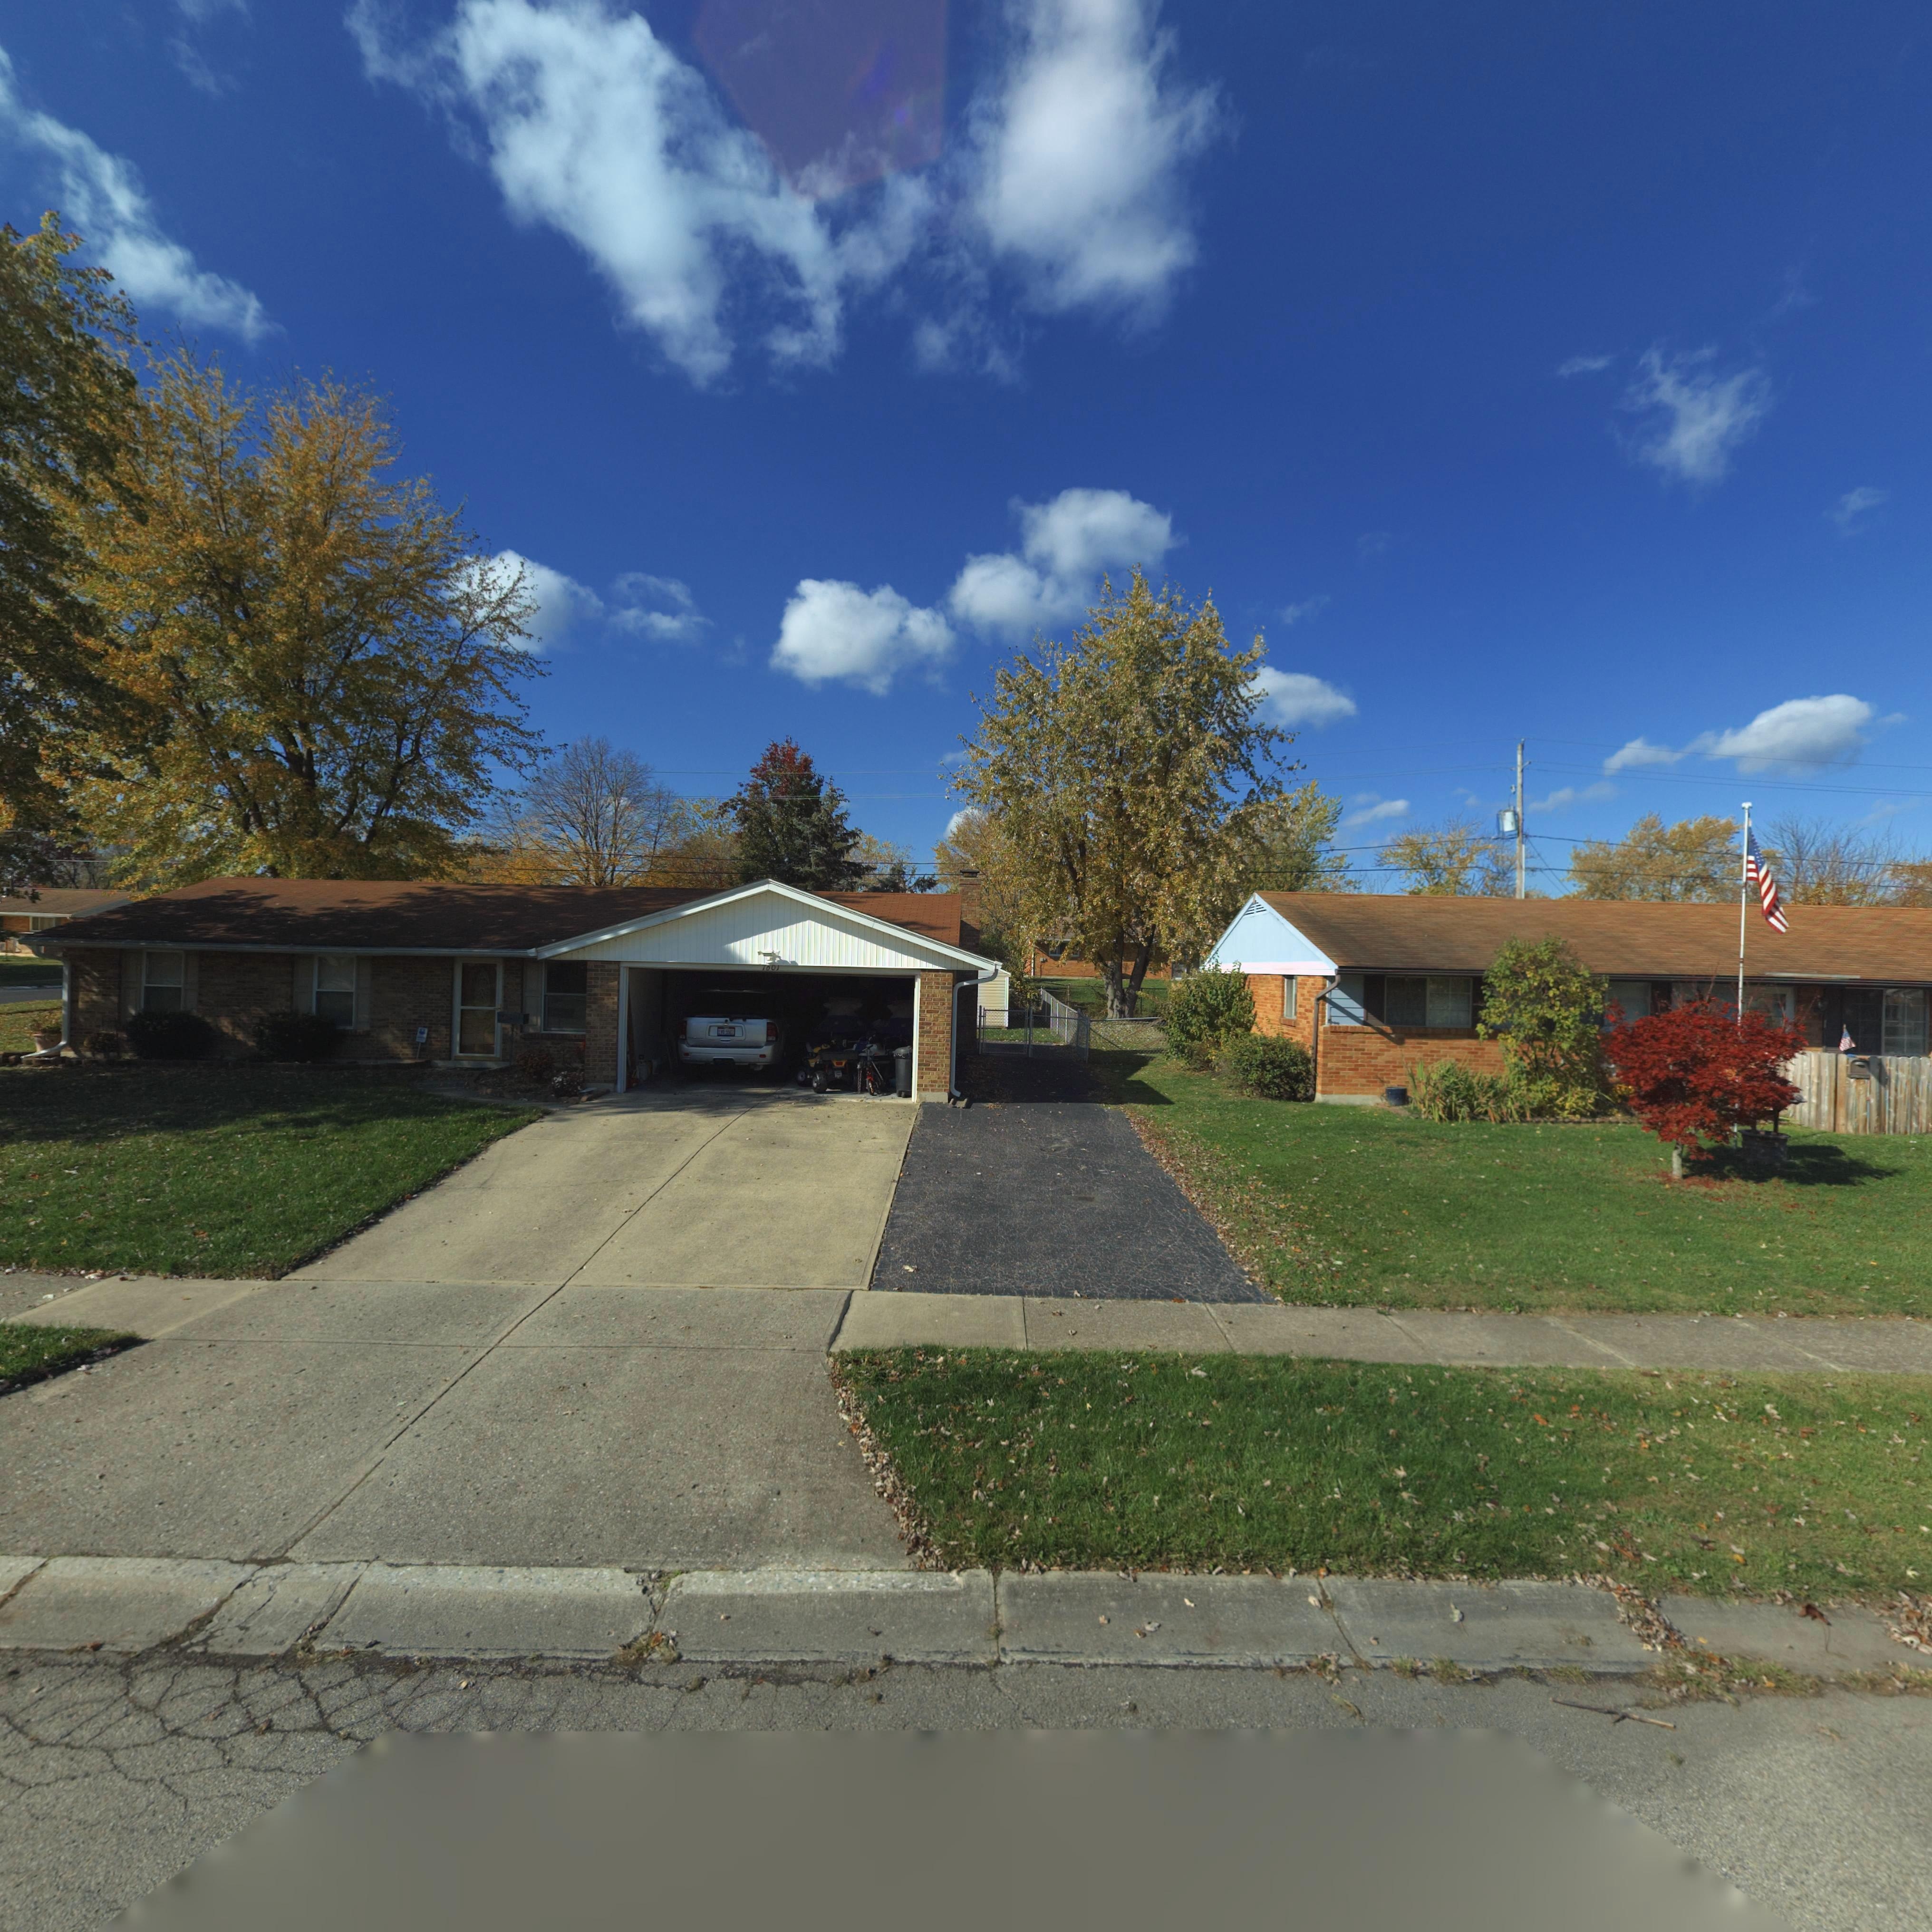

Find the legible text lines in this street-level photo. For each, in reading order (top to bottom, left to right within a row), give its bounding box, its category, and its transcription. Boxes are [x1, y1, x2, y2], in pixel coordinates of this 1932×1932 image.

[761, 964, 781, 972] StreetNumber: **0*